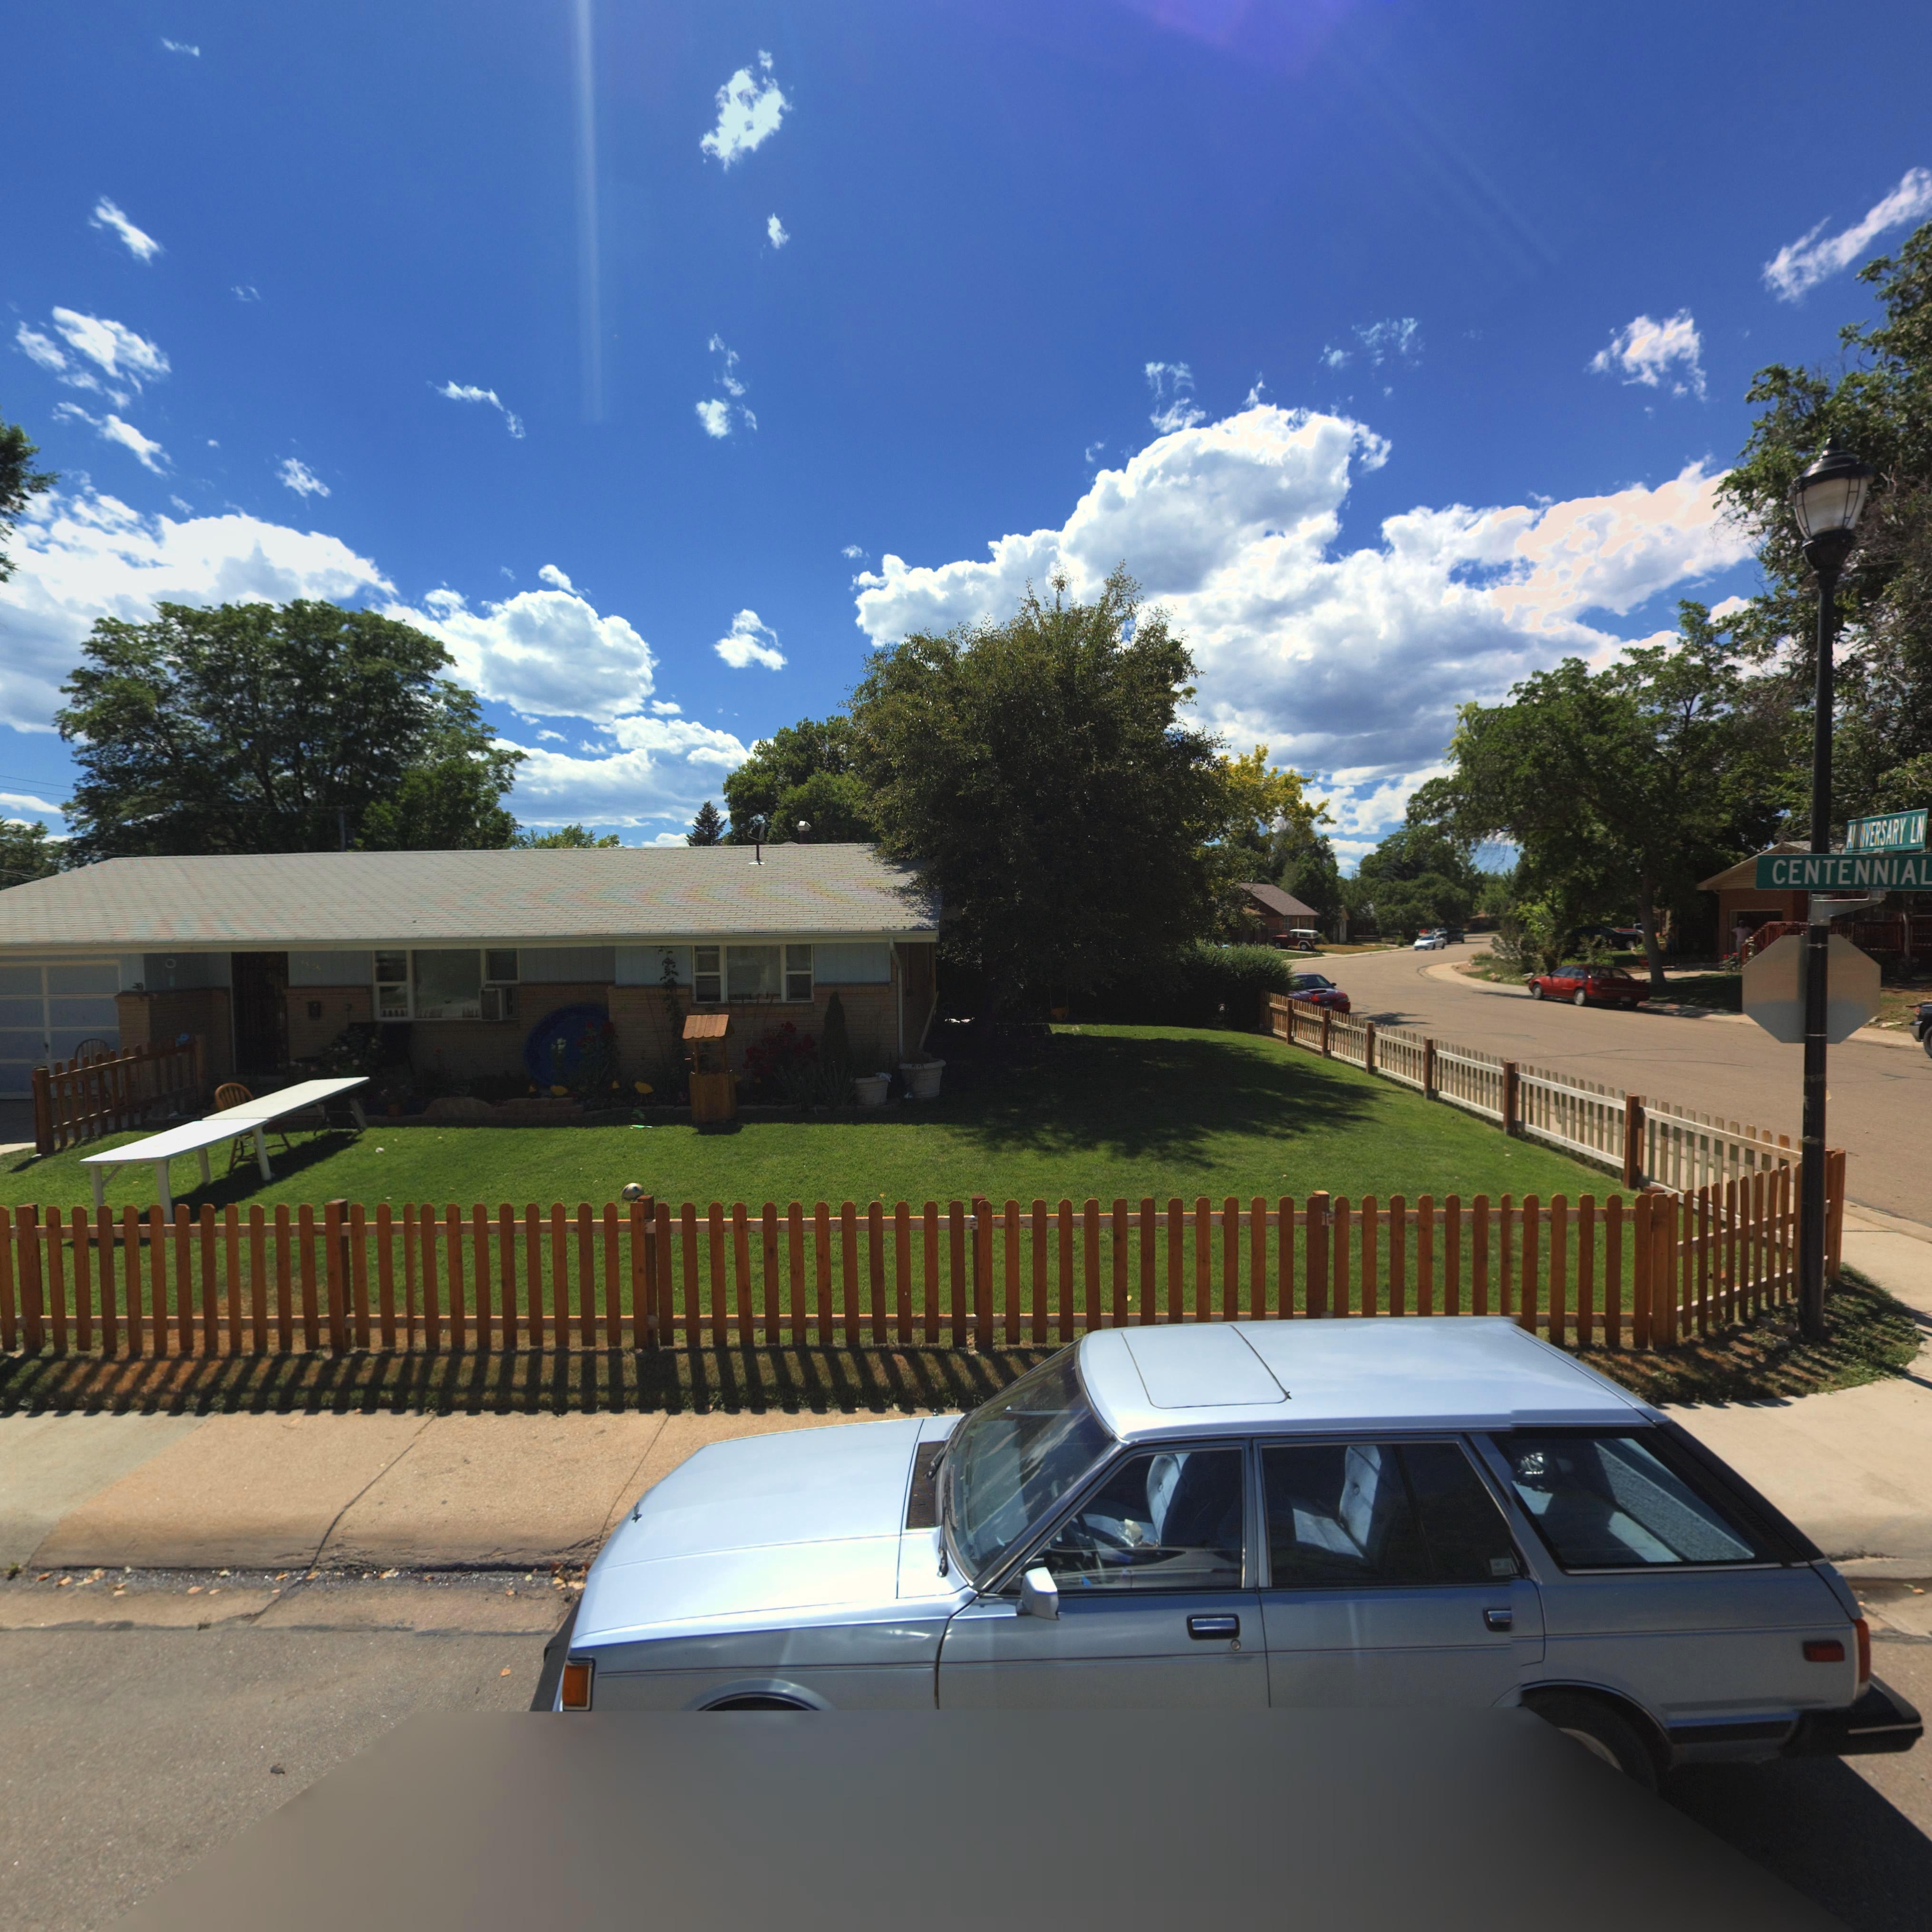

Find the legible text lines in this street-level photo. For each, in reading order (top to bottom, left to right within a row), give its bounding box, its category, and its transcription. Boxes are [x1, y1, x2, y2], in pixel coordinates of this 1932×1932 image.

[1845, 814, 1925, 849] StreetName: ANNIVERSARY LN
[1771, 858, 1931, 885] StreetName: CENTENNIAL
[300, 958, 321, 972] StreetNumber: 15**